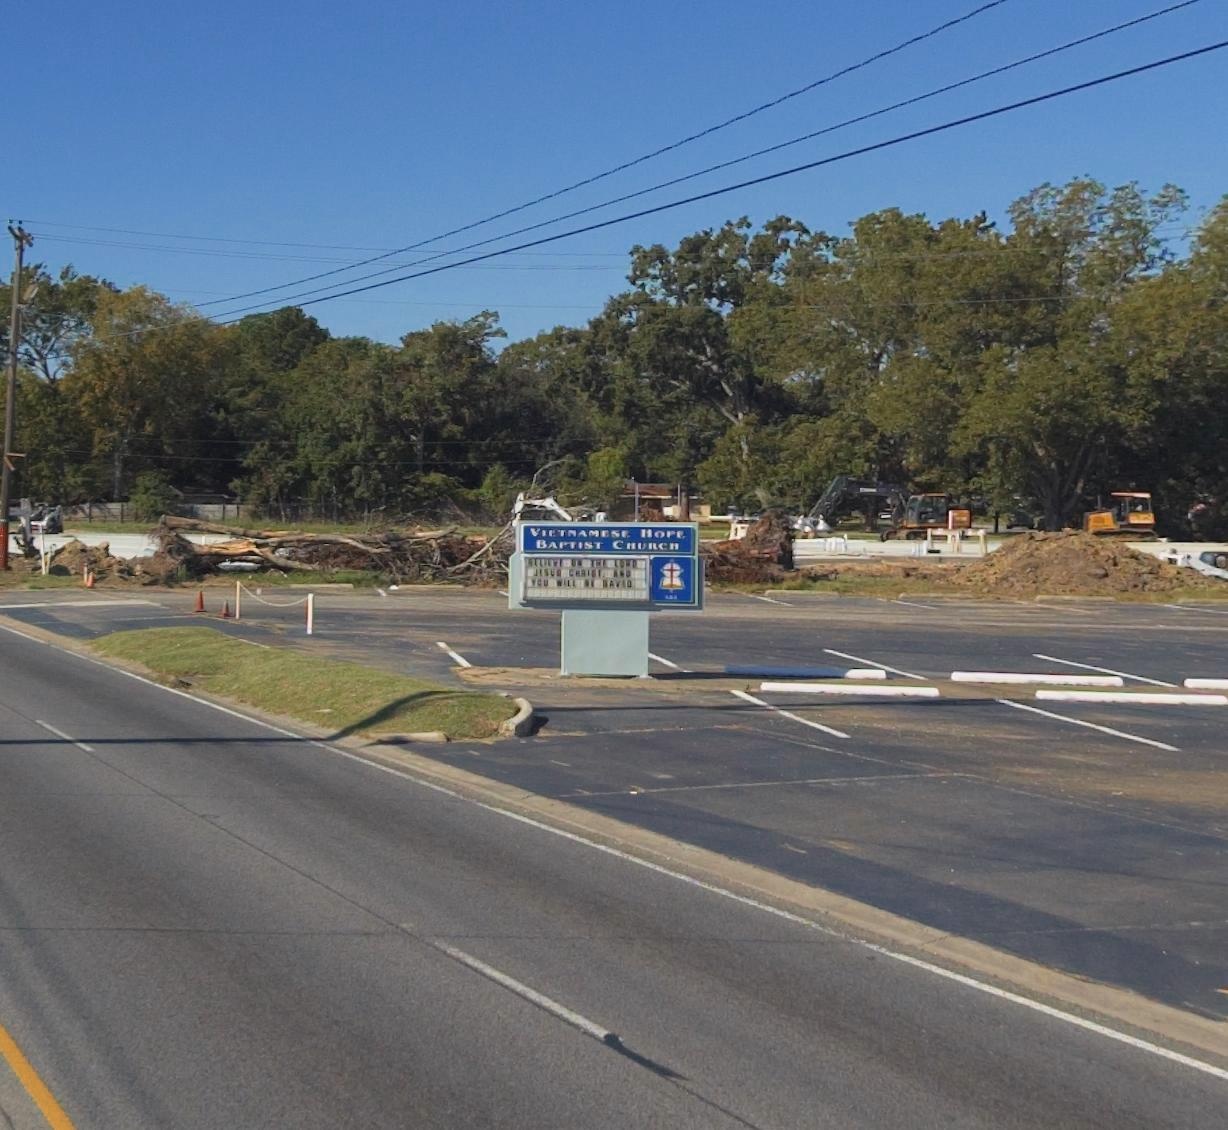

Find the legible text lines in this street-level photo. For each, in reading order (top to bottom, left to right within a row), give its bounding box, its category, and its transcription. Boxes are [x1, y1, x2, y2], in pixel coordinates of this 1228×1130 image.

[526, 526, 688, 541] BusinessName: VIETNAMESE HOPE,
[534, 537, 682, 552] BusinessName: BAPTIST CHURCH
[568, 557, 640, 569] None: ON THE LO*D
[611, 567, 634, 580] None: AND
[528, 577, 579, 589] None: YOU WILL